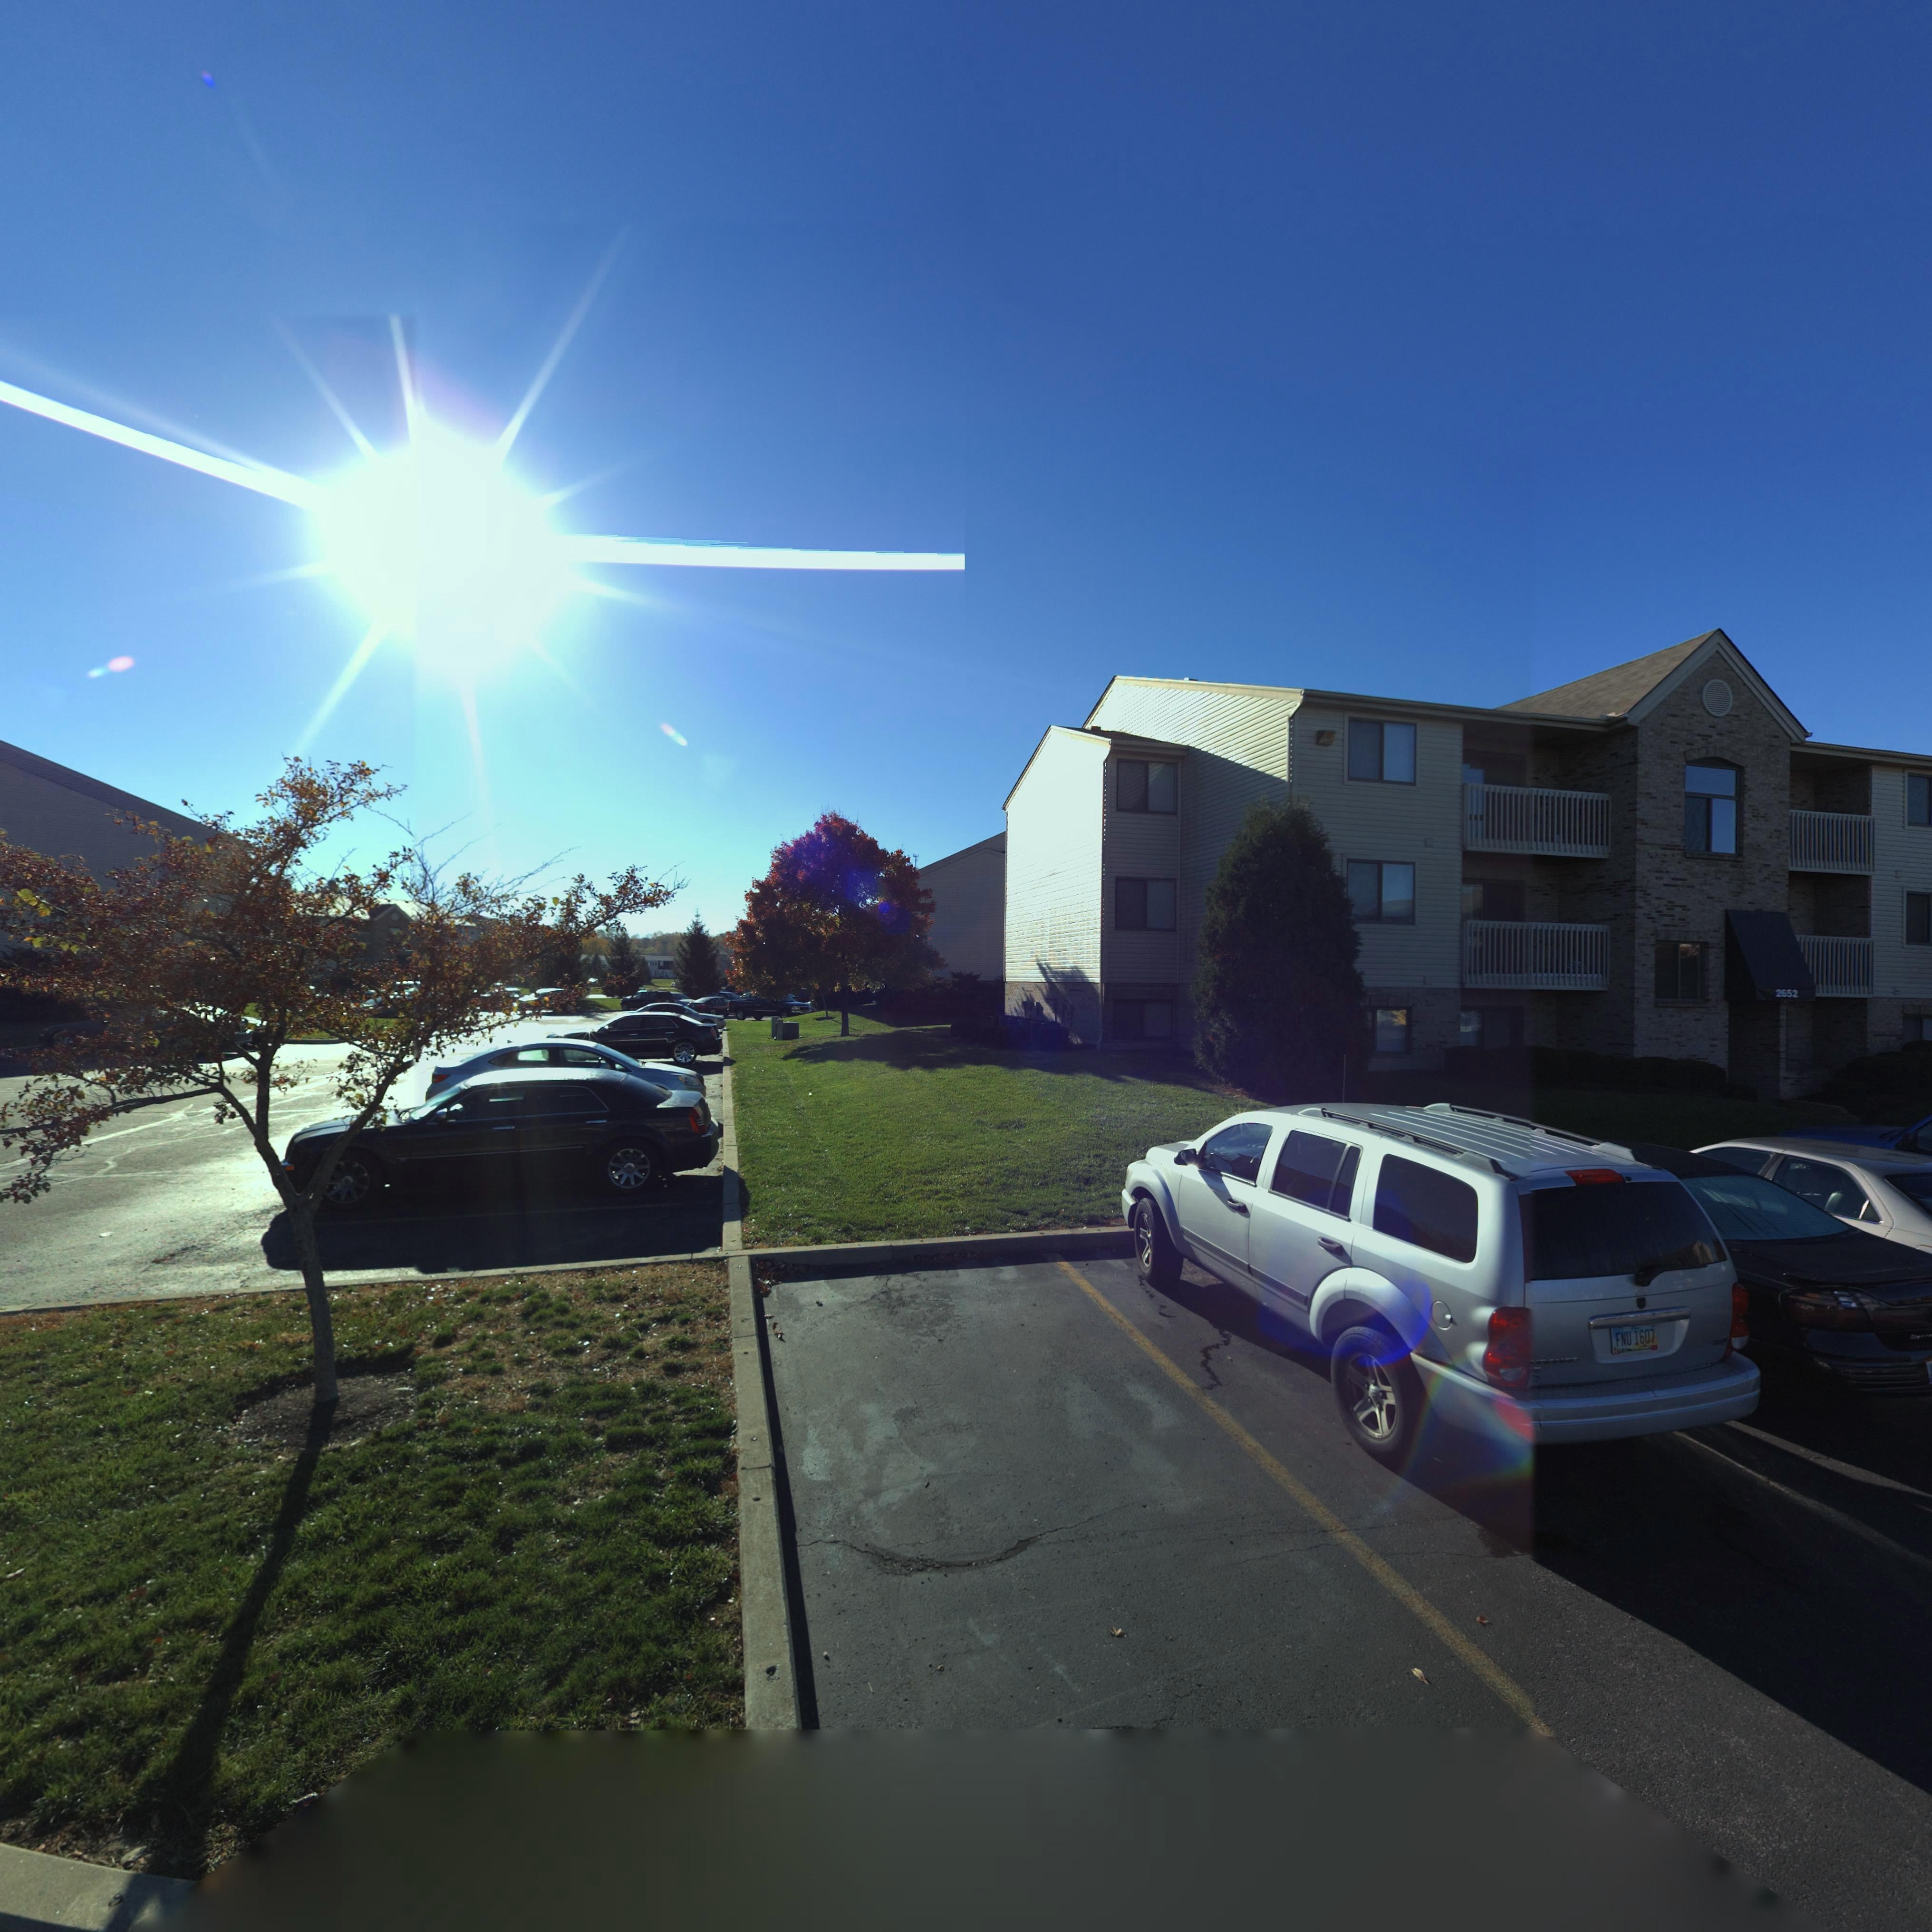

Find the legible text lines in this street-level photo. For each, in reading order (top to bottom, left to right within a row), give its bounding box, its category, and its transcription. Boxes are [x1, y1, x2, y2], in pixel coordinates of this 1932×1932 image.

[1775, 988, 1799, 998] StreetNumber: 2652